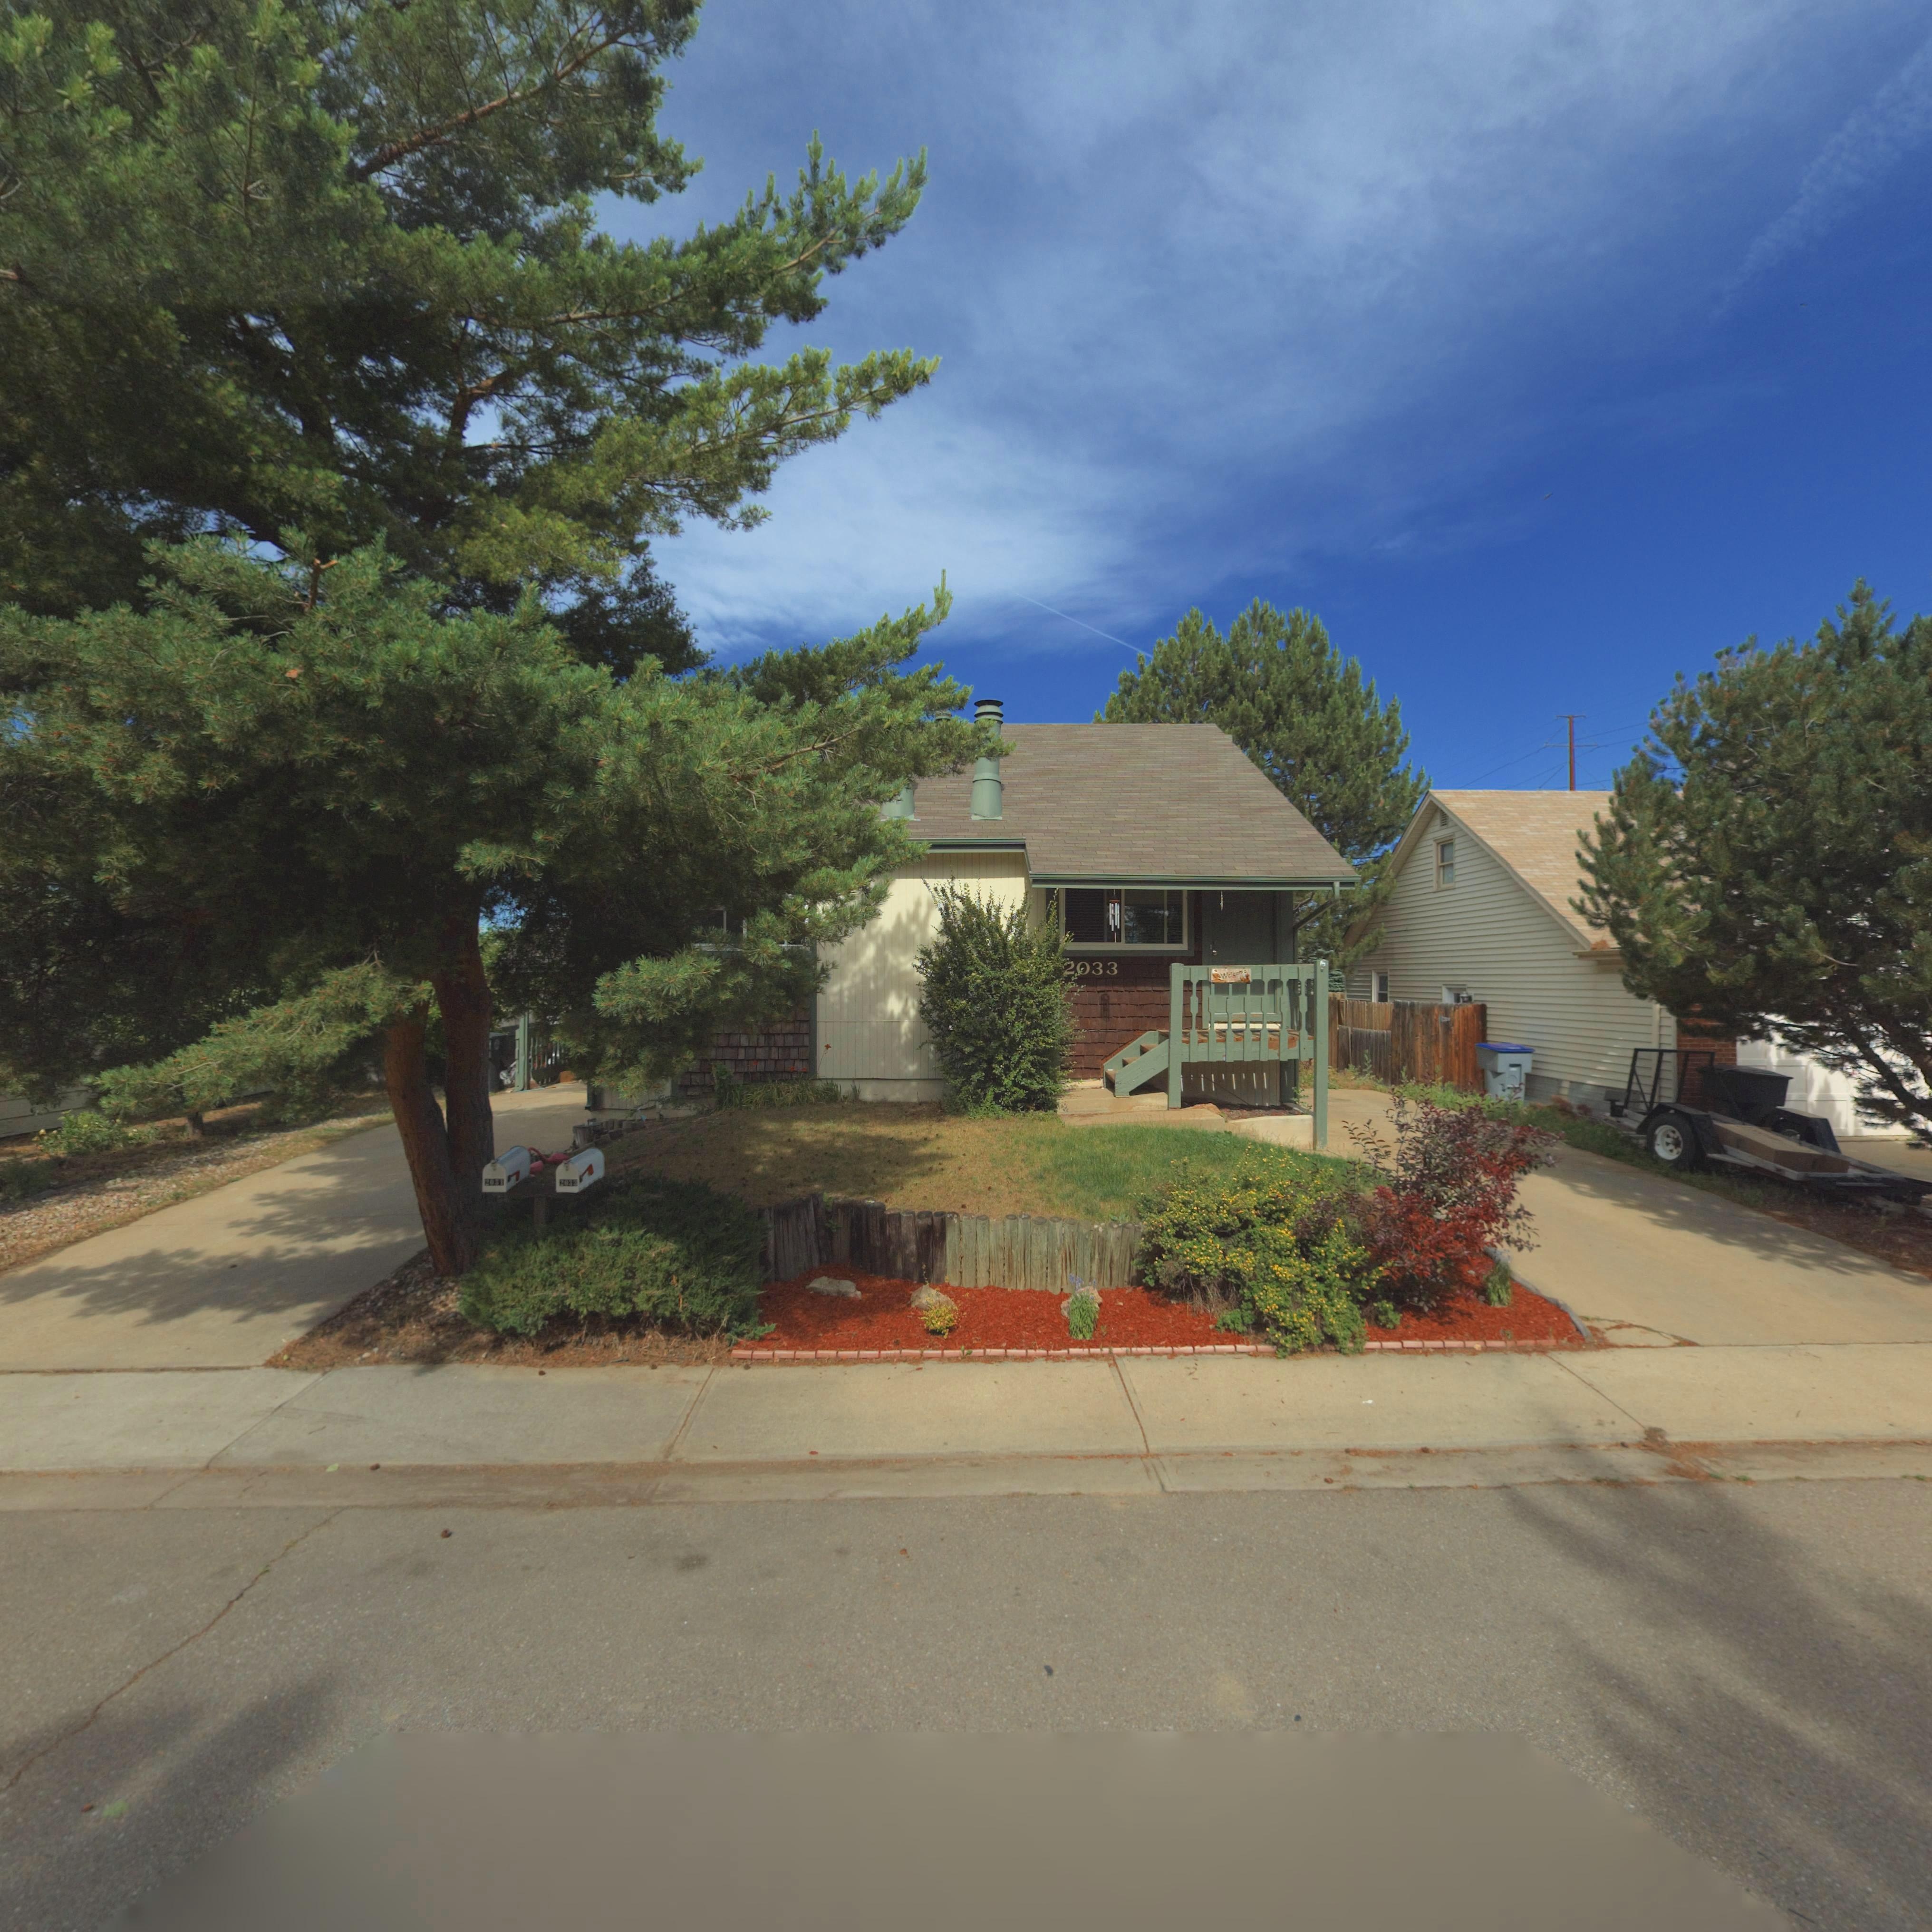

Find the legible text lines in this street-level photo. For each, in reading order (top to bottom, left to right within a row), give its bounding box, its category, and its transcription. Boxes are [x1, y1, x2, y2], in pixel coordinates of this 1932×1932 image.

[1062, 960, 1118, 976] StreetNumber: 2033
[485, 1179, 503, 1185] StreetNumber: 2031
[560, 1179, 577, 1186] StreetNumber: 2033